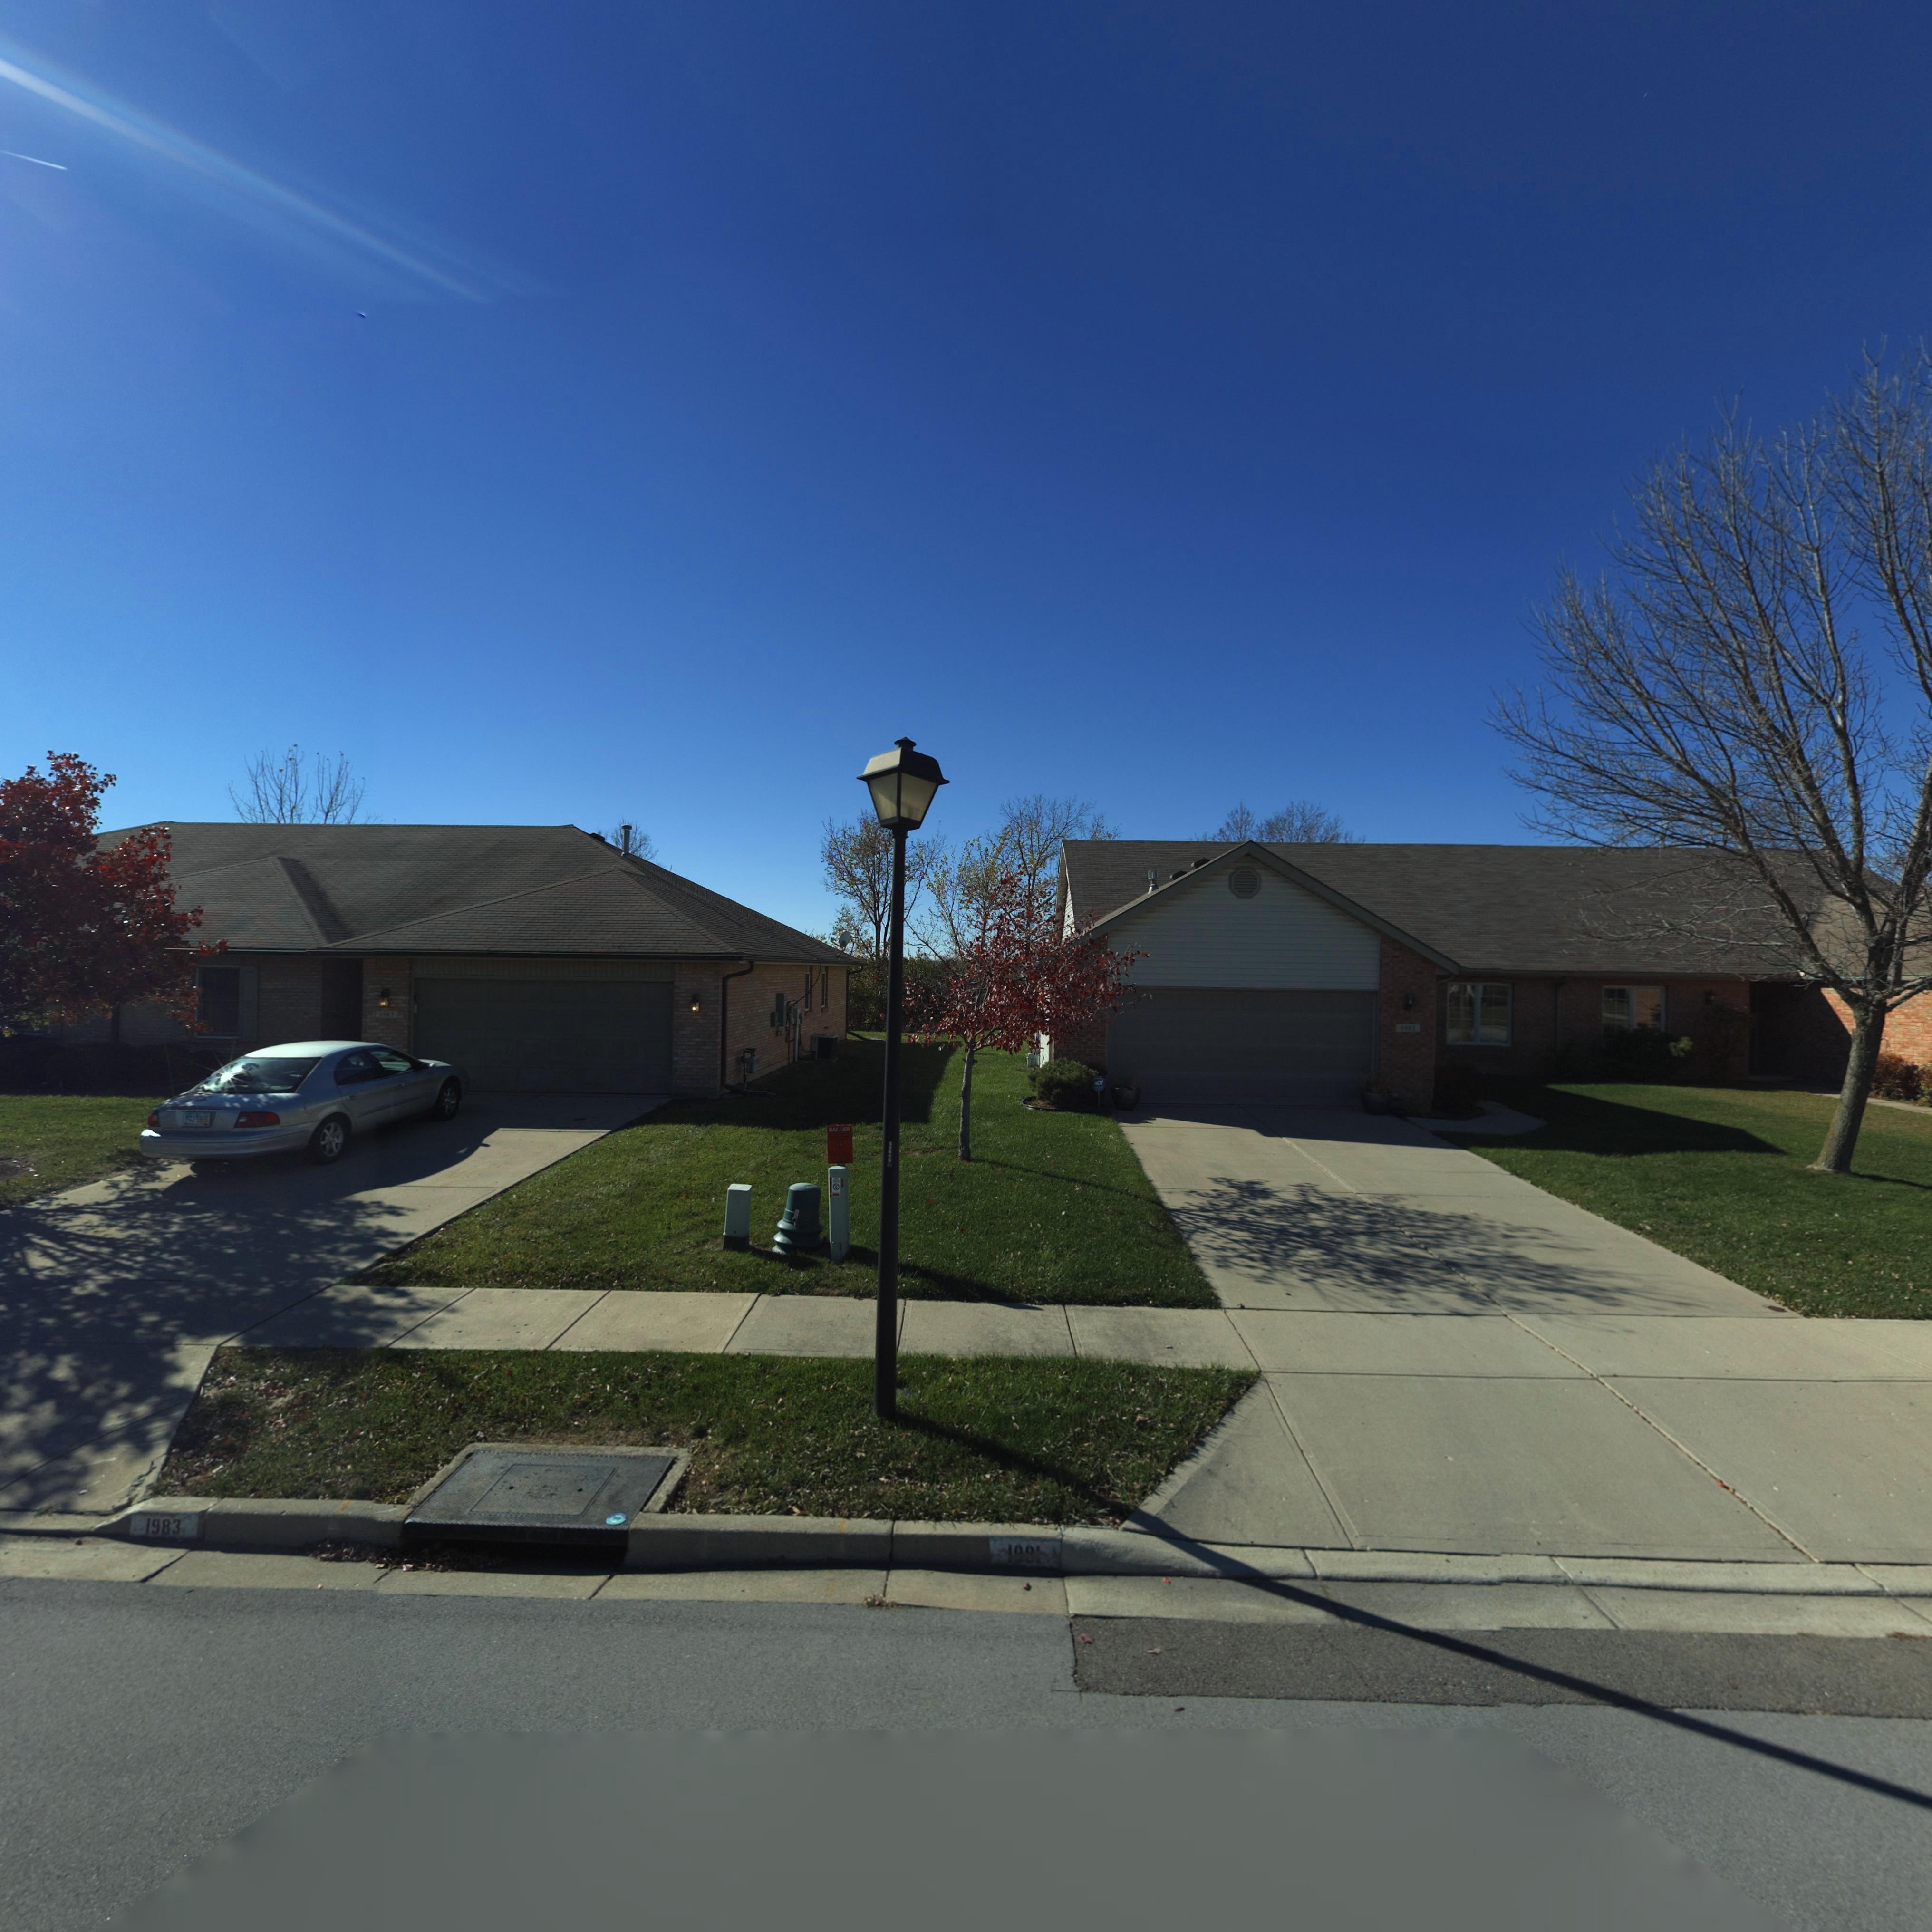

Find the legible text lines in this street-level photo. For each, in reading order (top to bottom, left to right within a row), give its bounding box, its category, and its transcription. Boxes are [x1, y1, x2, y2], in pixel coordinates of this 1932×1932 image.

[379, 1011, 395, 1018] StreetNumber: 1983
[1401, 1024, 1416, 1032] StreetNumber: 1**1
[144, 1517, 182, 1536] StreetNumber: 1983
[1005, 1542, 1043, 1565] StreetNumber: 1***